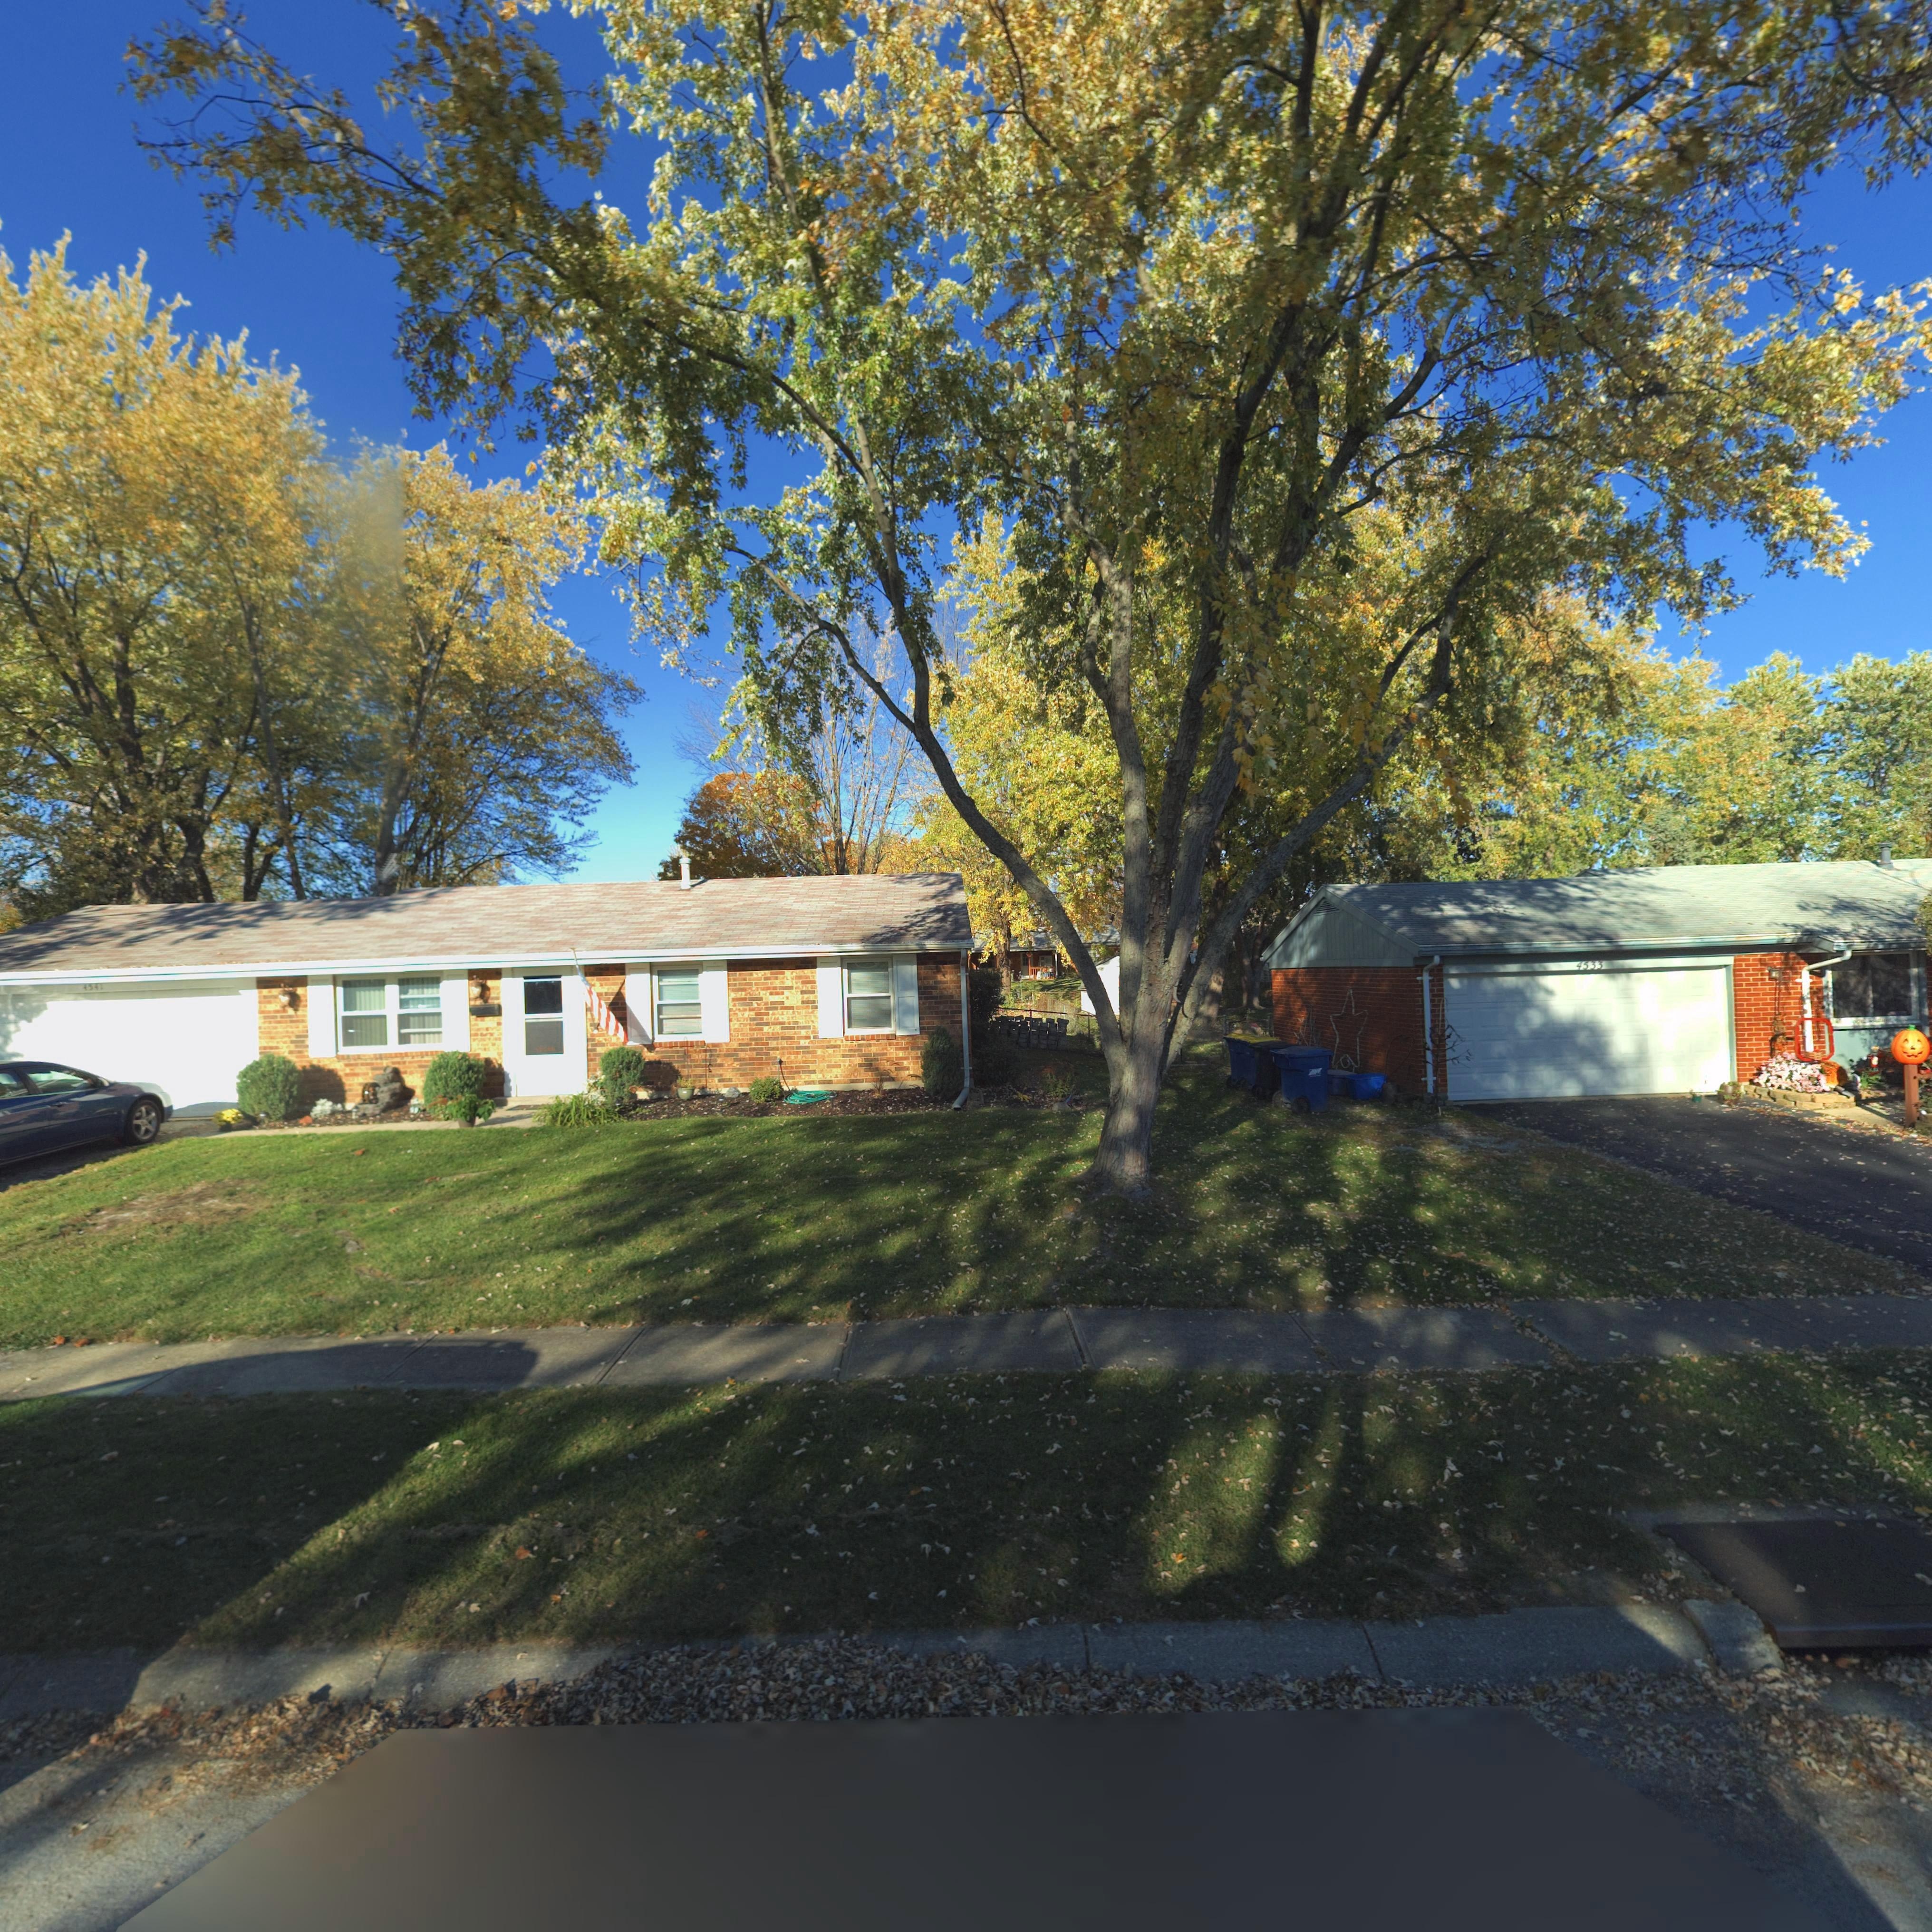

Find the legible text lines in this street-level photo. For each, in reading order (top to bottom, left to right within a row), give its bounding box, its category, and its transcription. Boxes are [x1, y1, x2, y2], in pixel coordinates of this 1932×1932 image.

[1575, 960, 1604, 971] StreetNumber: 4533
[82, 983, 104, 992] StreetNumber: 4541